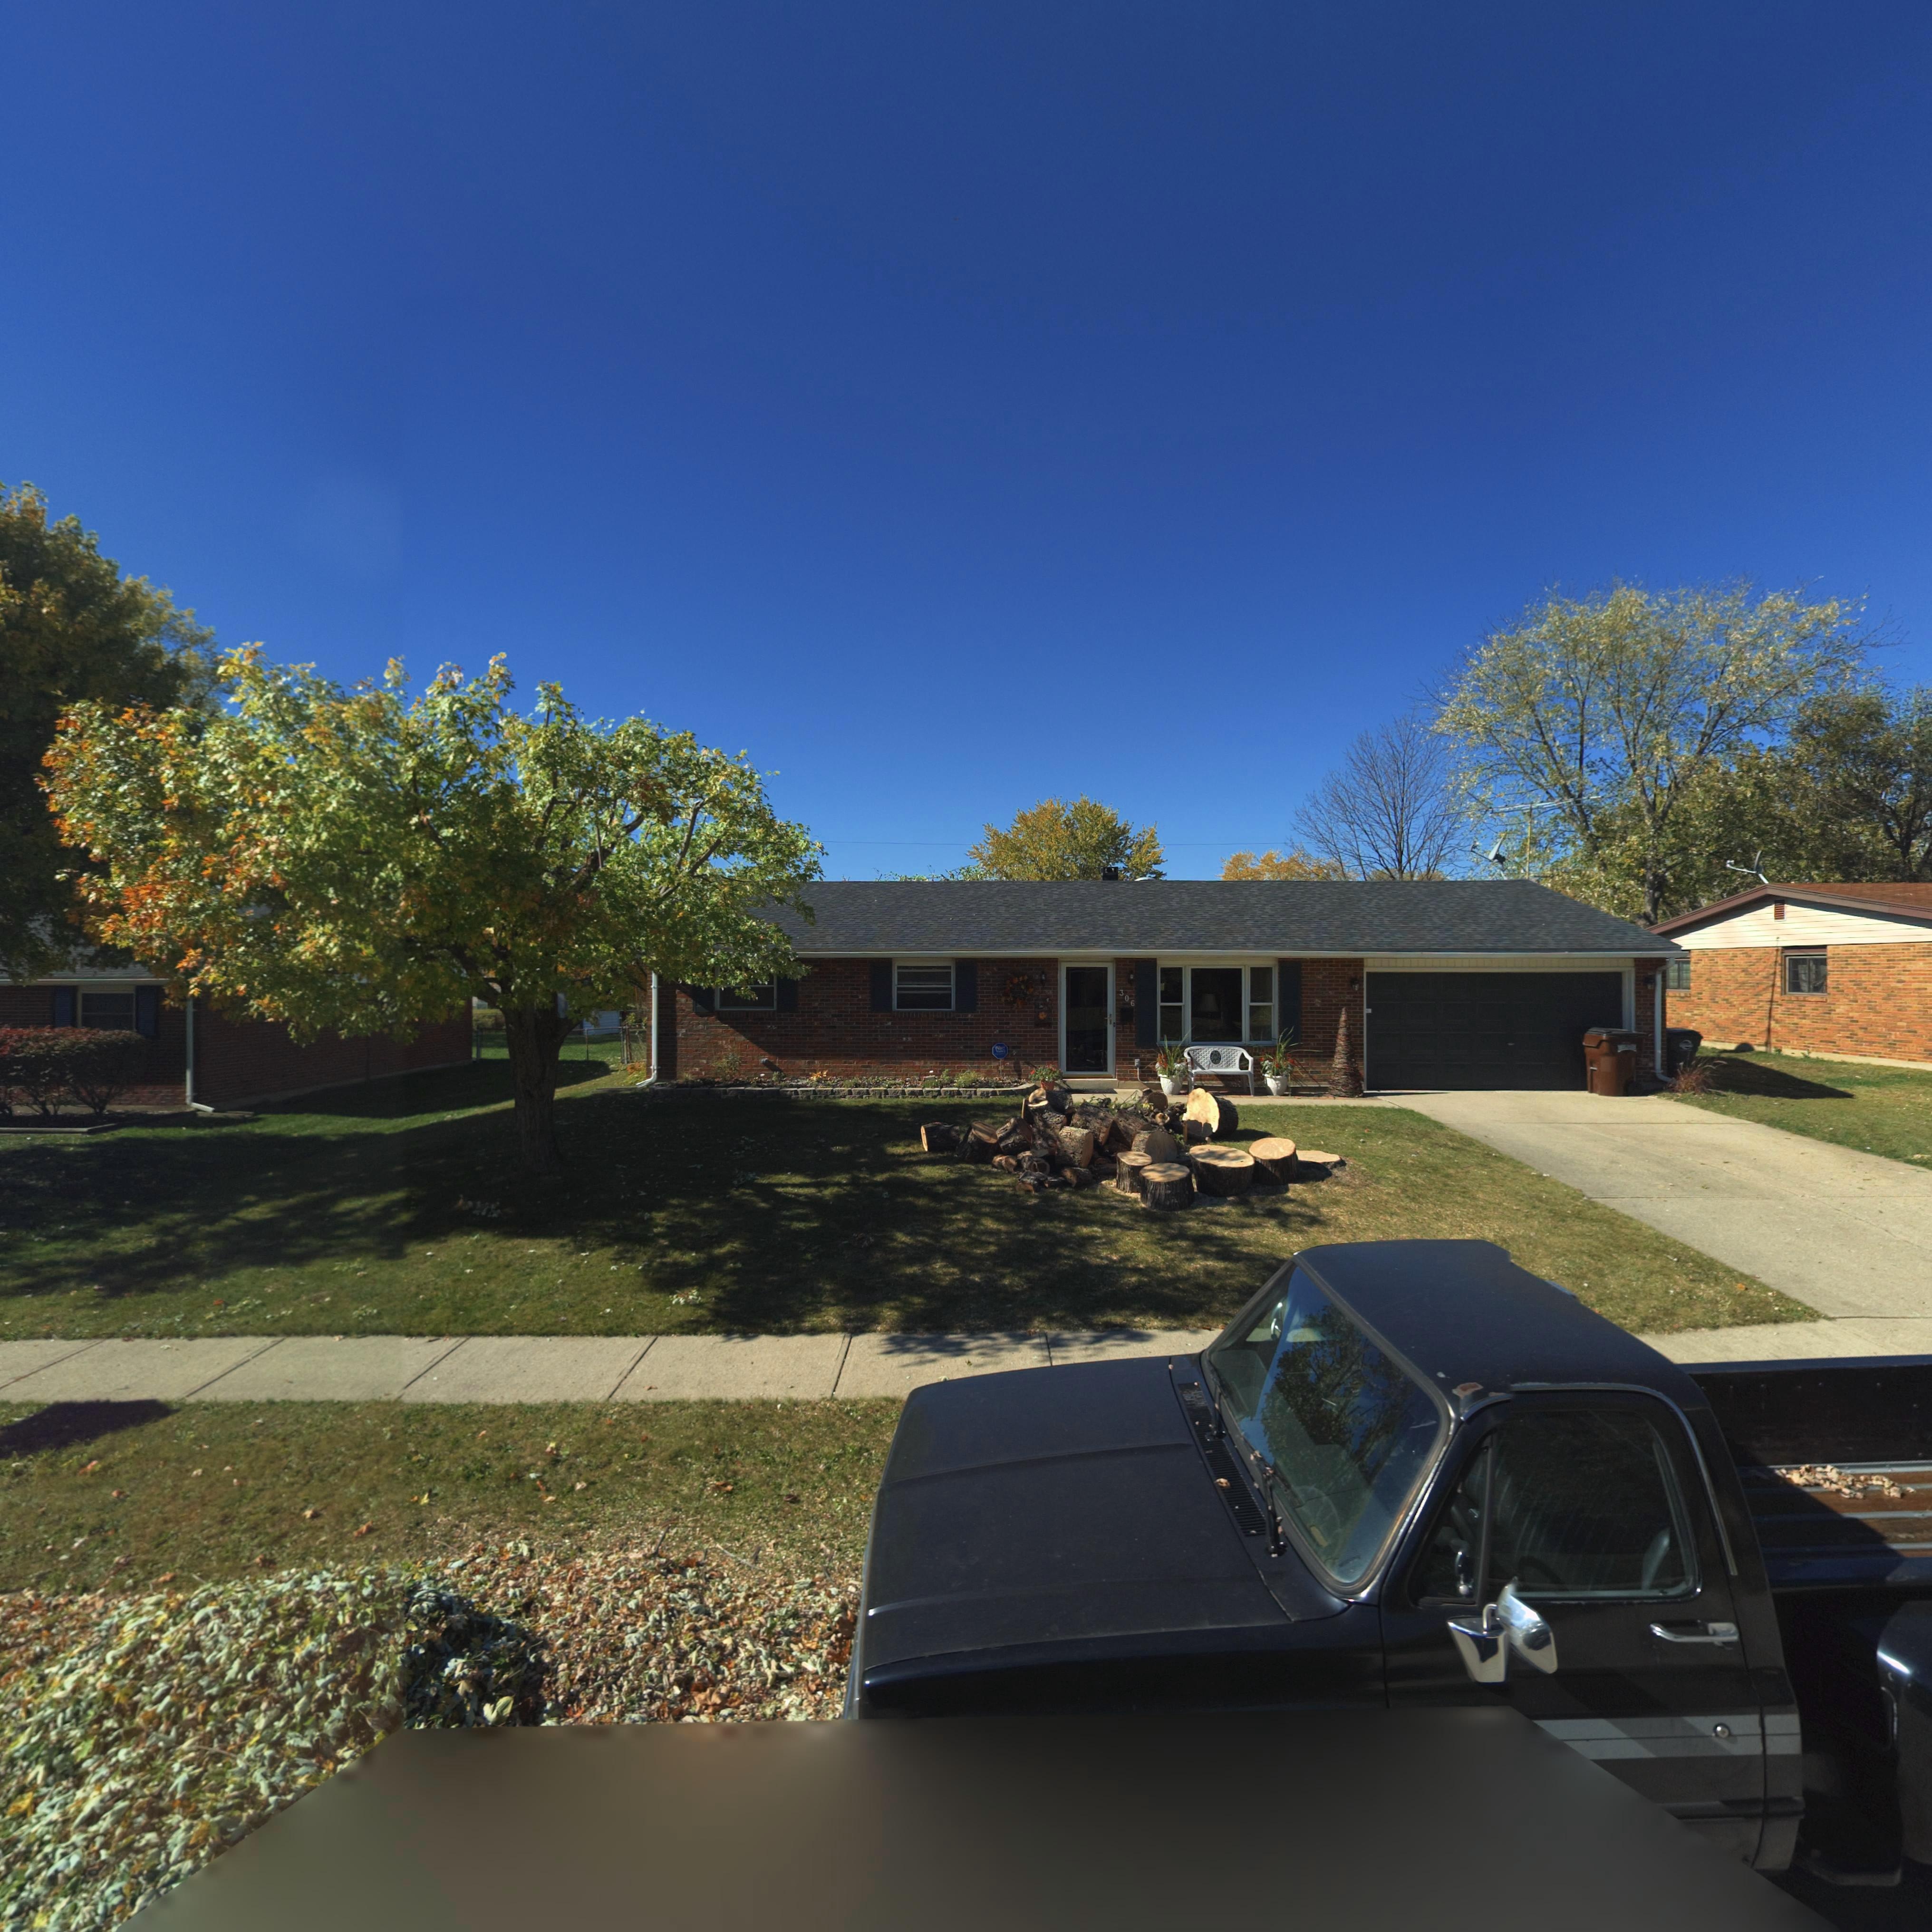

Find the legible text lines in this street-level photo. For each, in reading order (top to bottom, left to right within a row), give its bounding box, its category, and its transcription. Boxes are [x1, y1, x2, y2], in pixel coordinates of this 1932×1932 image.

[1119, 989, 1135, 1006] StreetNumber: 306